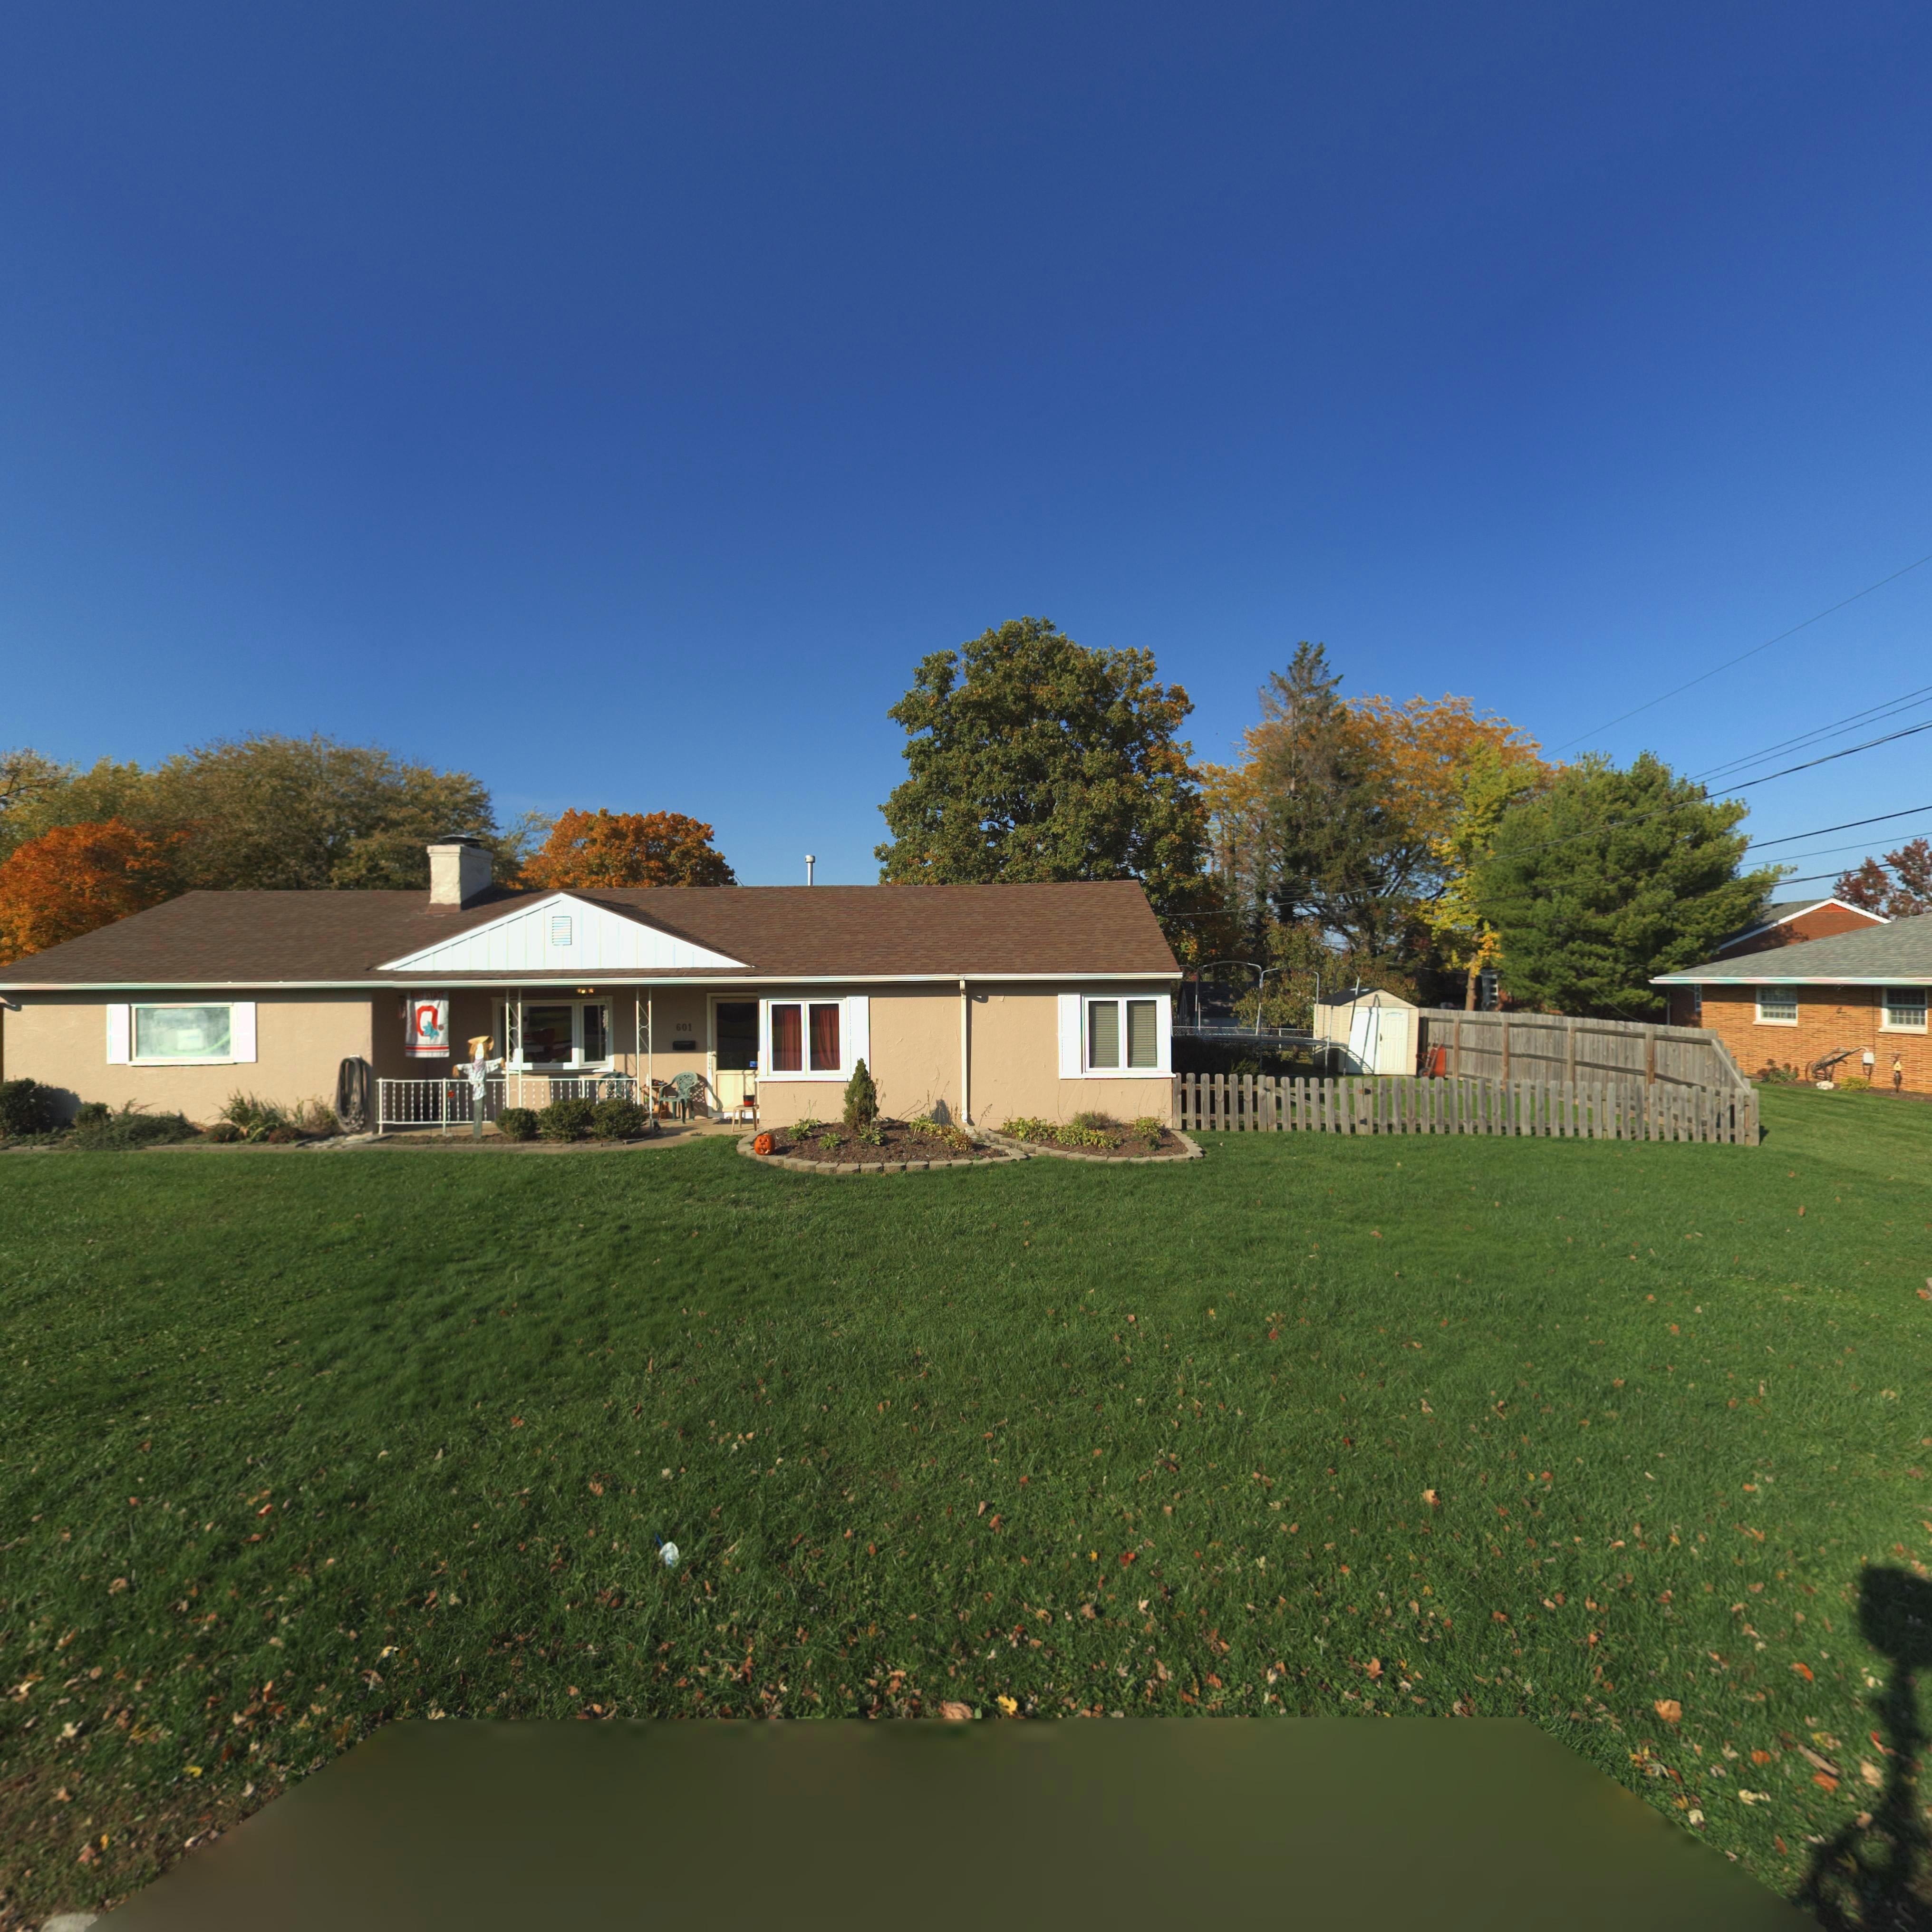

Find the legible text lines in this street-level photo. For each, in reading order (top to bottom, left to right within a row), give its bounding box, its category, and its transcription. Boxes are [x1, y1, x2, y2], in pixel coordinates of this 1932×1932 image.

[676, 1023, 692, 1032] StreetNumber: 601